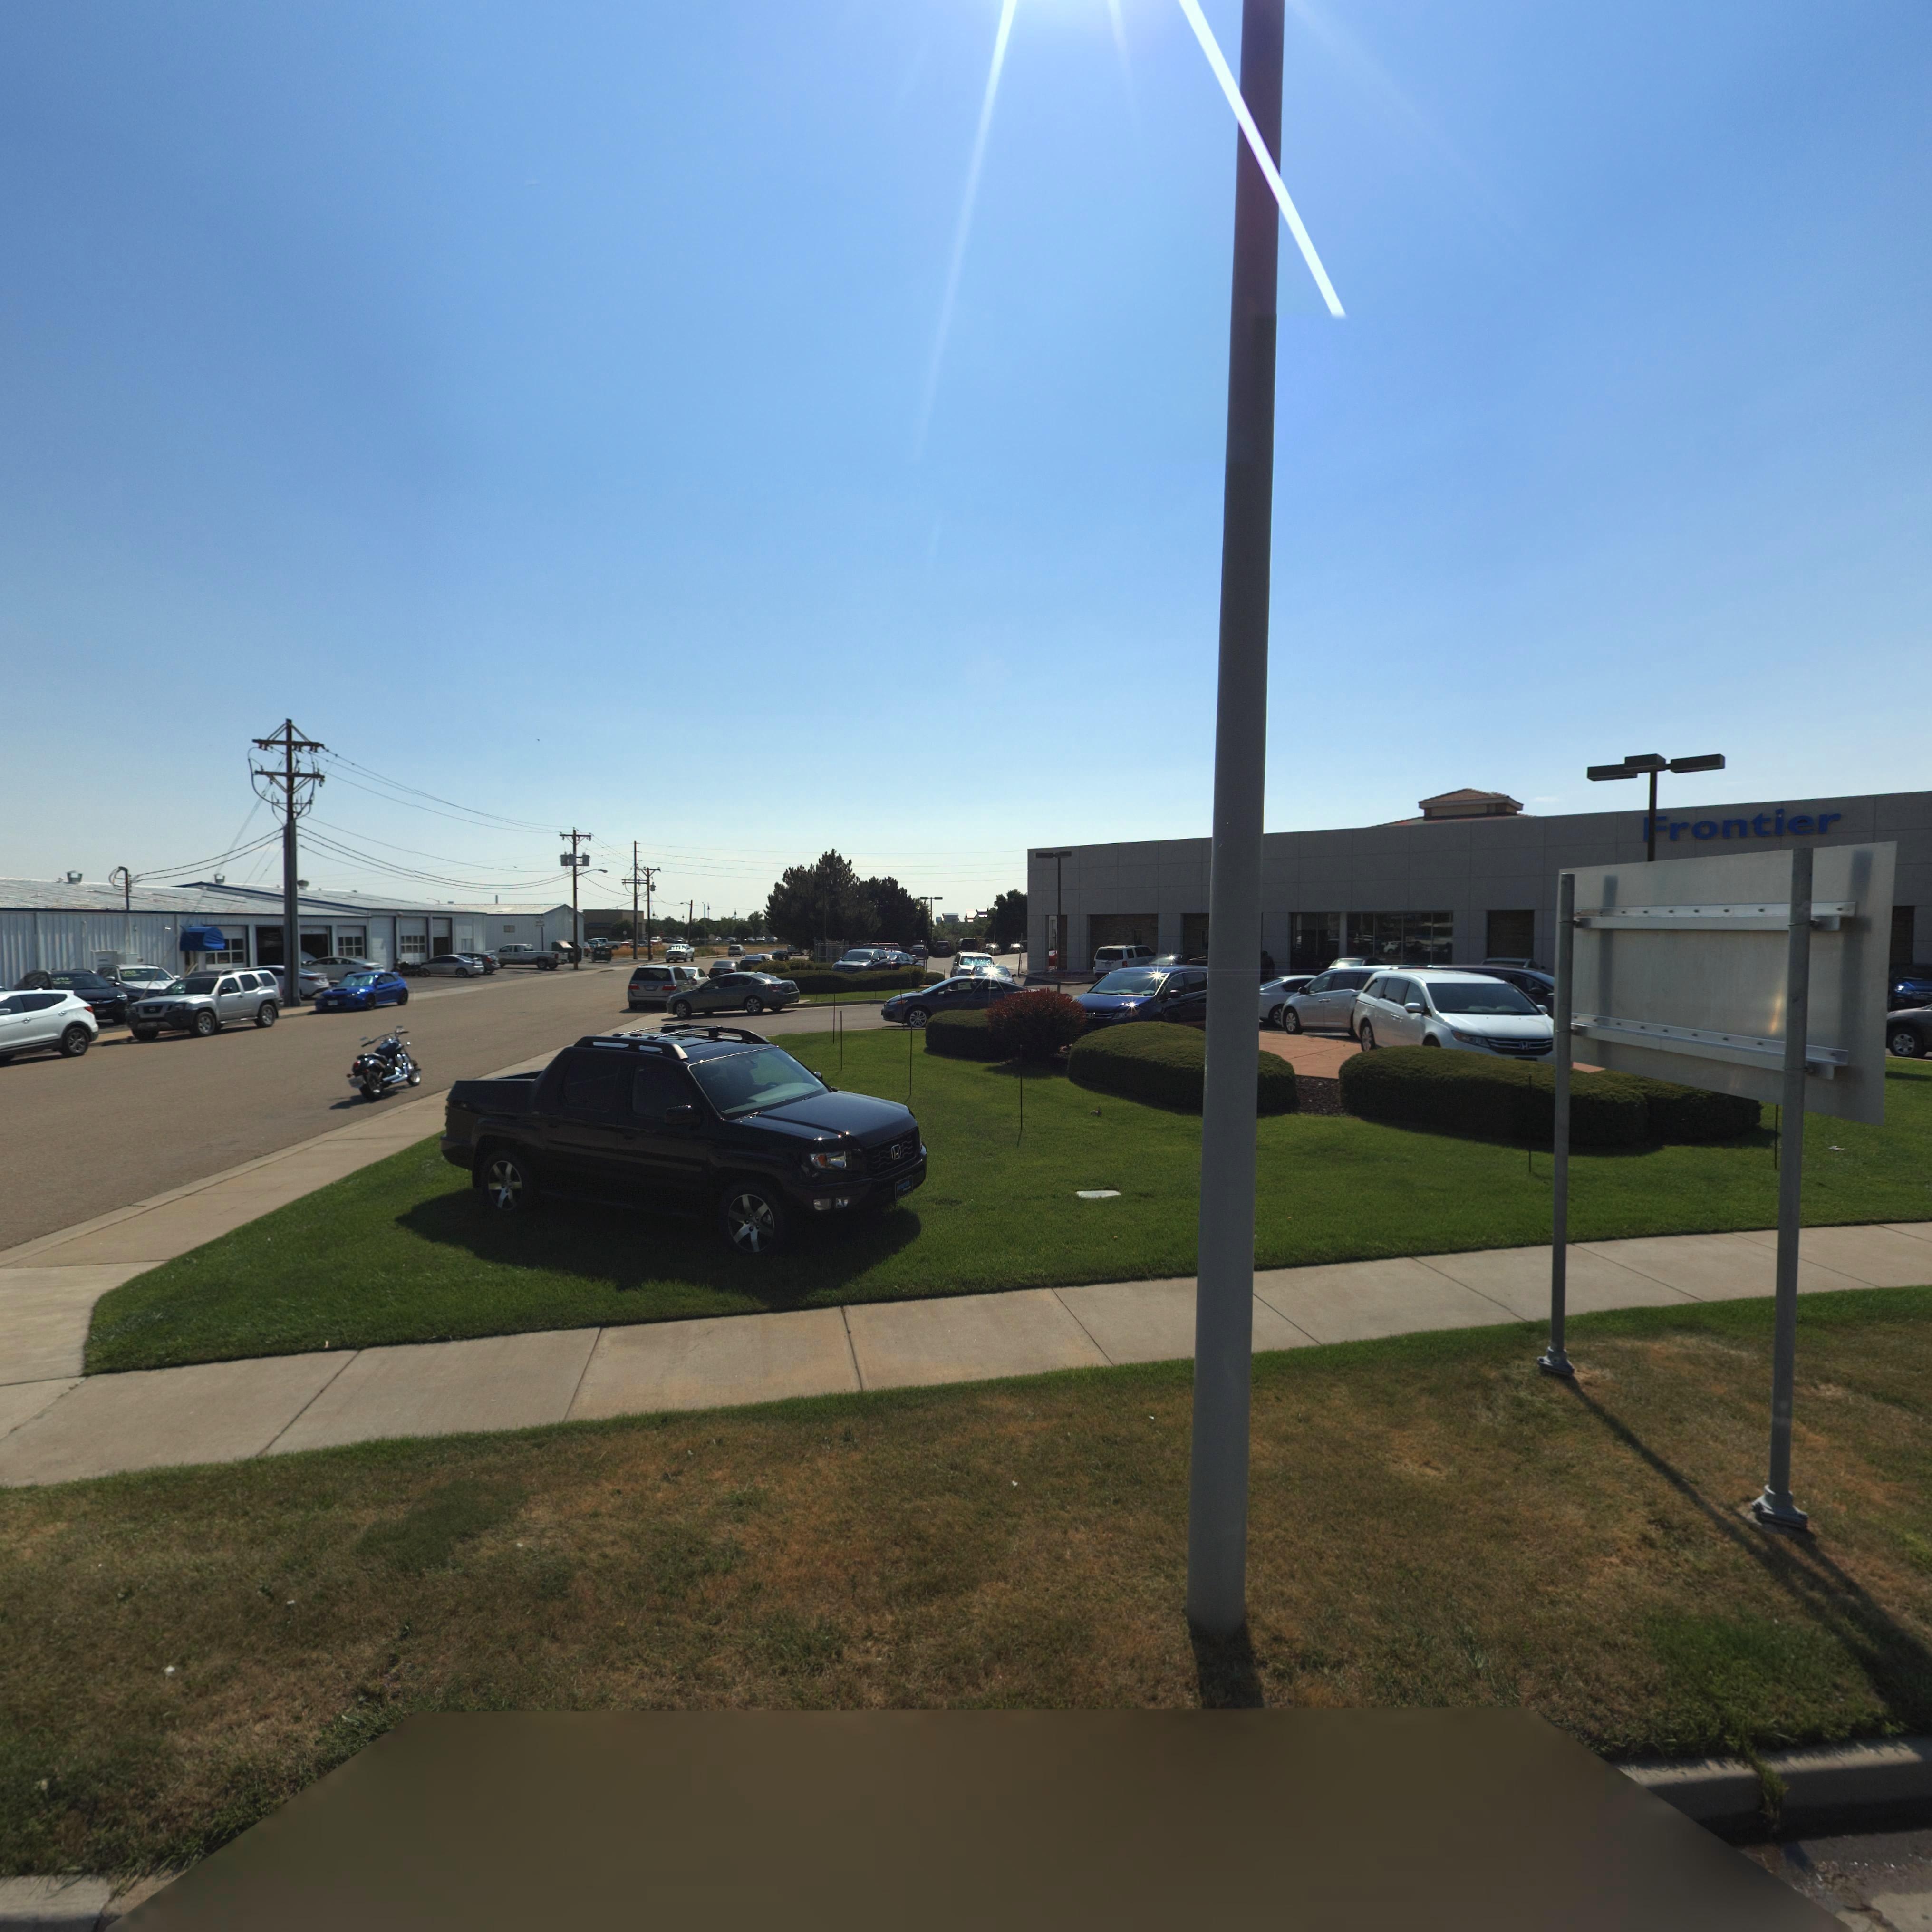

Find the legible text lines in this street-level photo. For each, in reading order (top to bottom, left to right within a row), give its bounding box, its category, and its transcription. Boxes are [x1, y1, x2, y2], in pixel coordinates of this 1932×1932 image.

[1642, 807, 1842, 843] BusinessName: *rontier